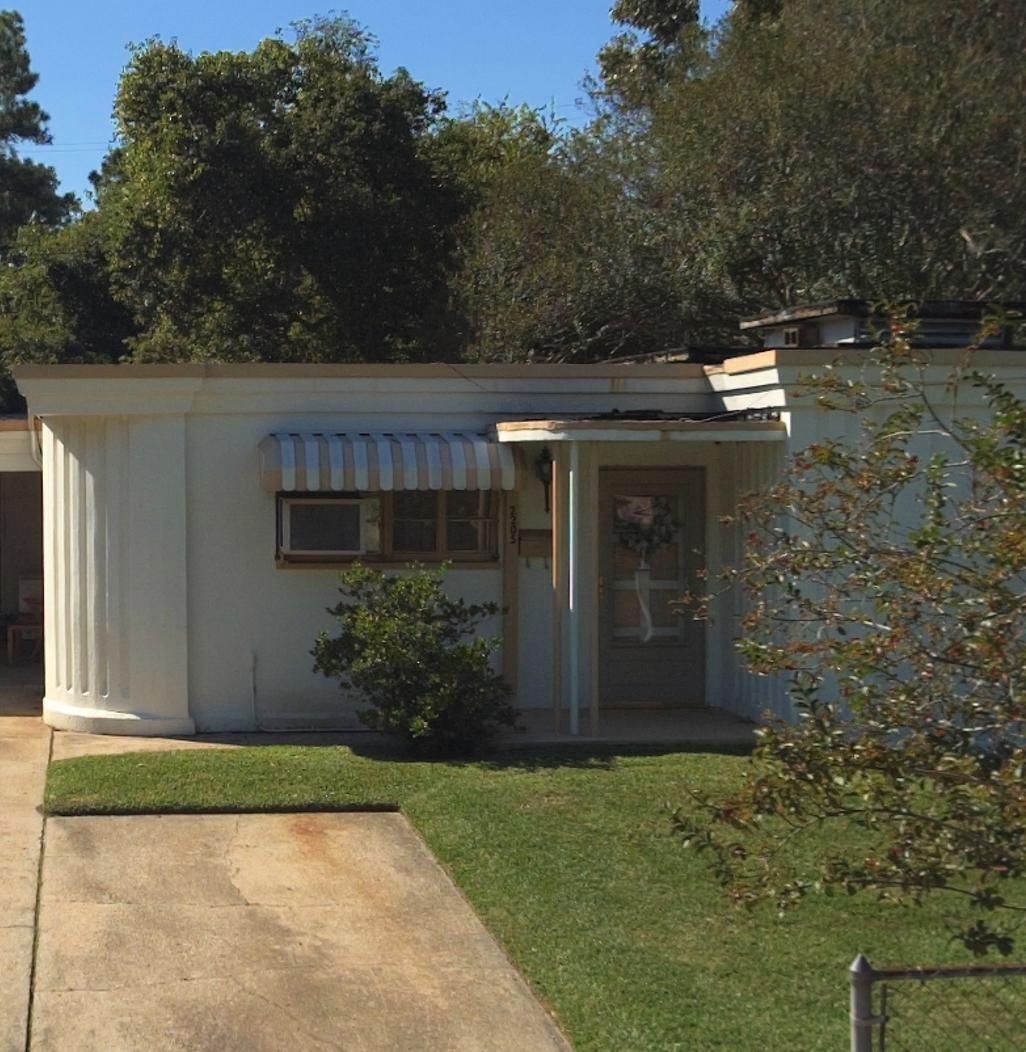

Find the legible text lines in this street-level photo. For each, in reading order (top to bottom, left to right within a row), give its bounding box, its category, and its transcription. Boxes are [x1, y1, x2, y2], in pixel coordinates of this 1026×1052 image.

[508, 505, 518, 545] StreetNumber: 2205